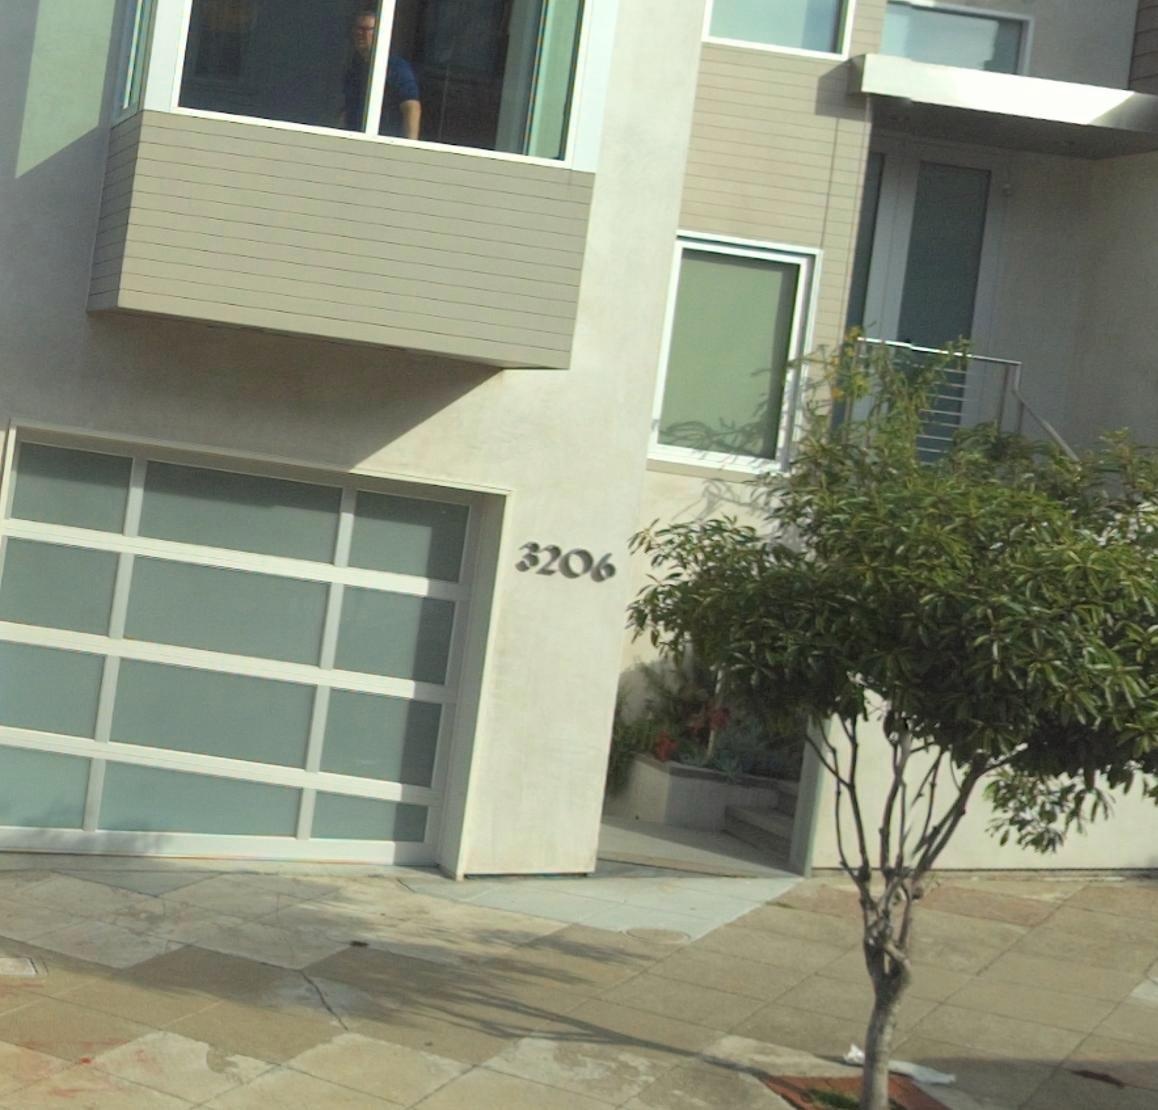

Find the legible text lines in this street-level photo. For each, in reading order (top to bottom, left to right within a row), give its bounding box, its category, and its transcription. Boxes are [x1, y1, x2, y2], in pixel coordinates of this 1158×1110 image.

[514, 537, 622, 583] StreetNumber: 3206